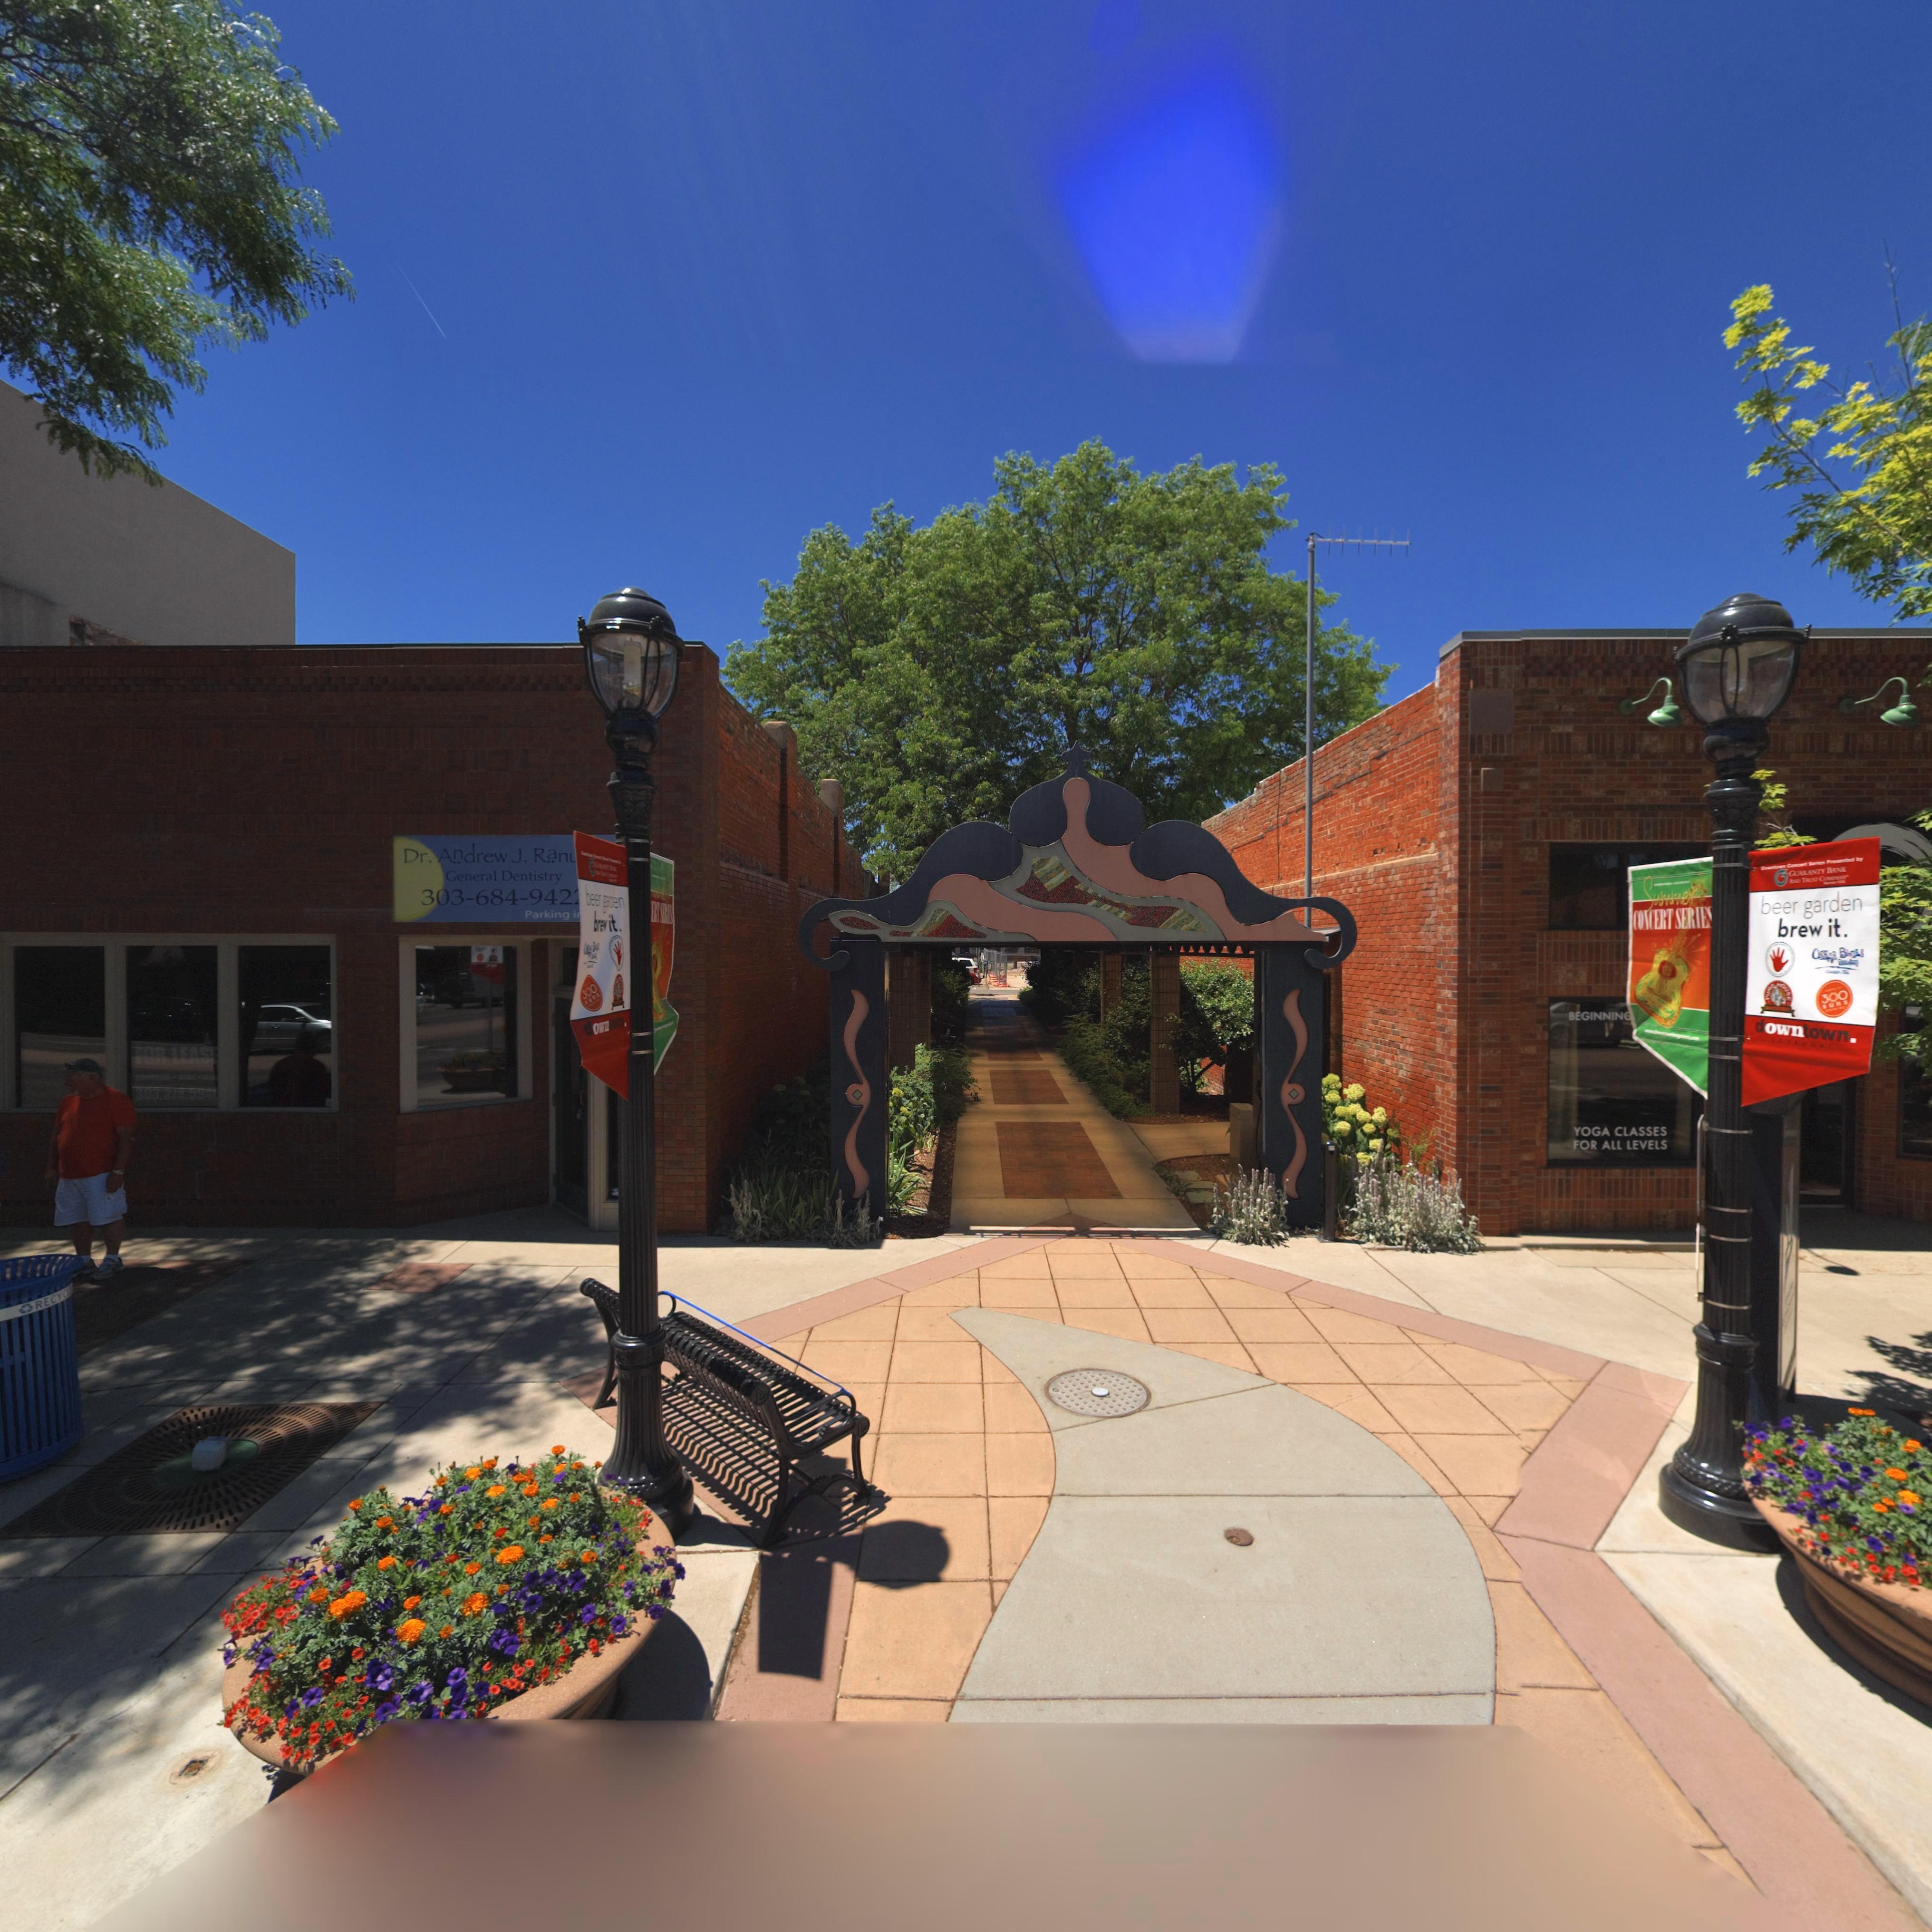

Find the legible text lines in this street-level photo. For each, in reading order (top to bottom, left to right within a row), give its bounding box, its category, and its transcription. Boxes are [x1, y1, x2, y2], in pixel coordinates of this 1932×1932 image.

[403, 841, 569, 865] BusinessName: Dr. Andrew J. Ran
[444, 869, 563, 886] BusinessName: General Dentistry